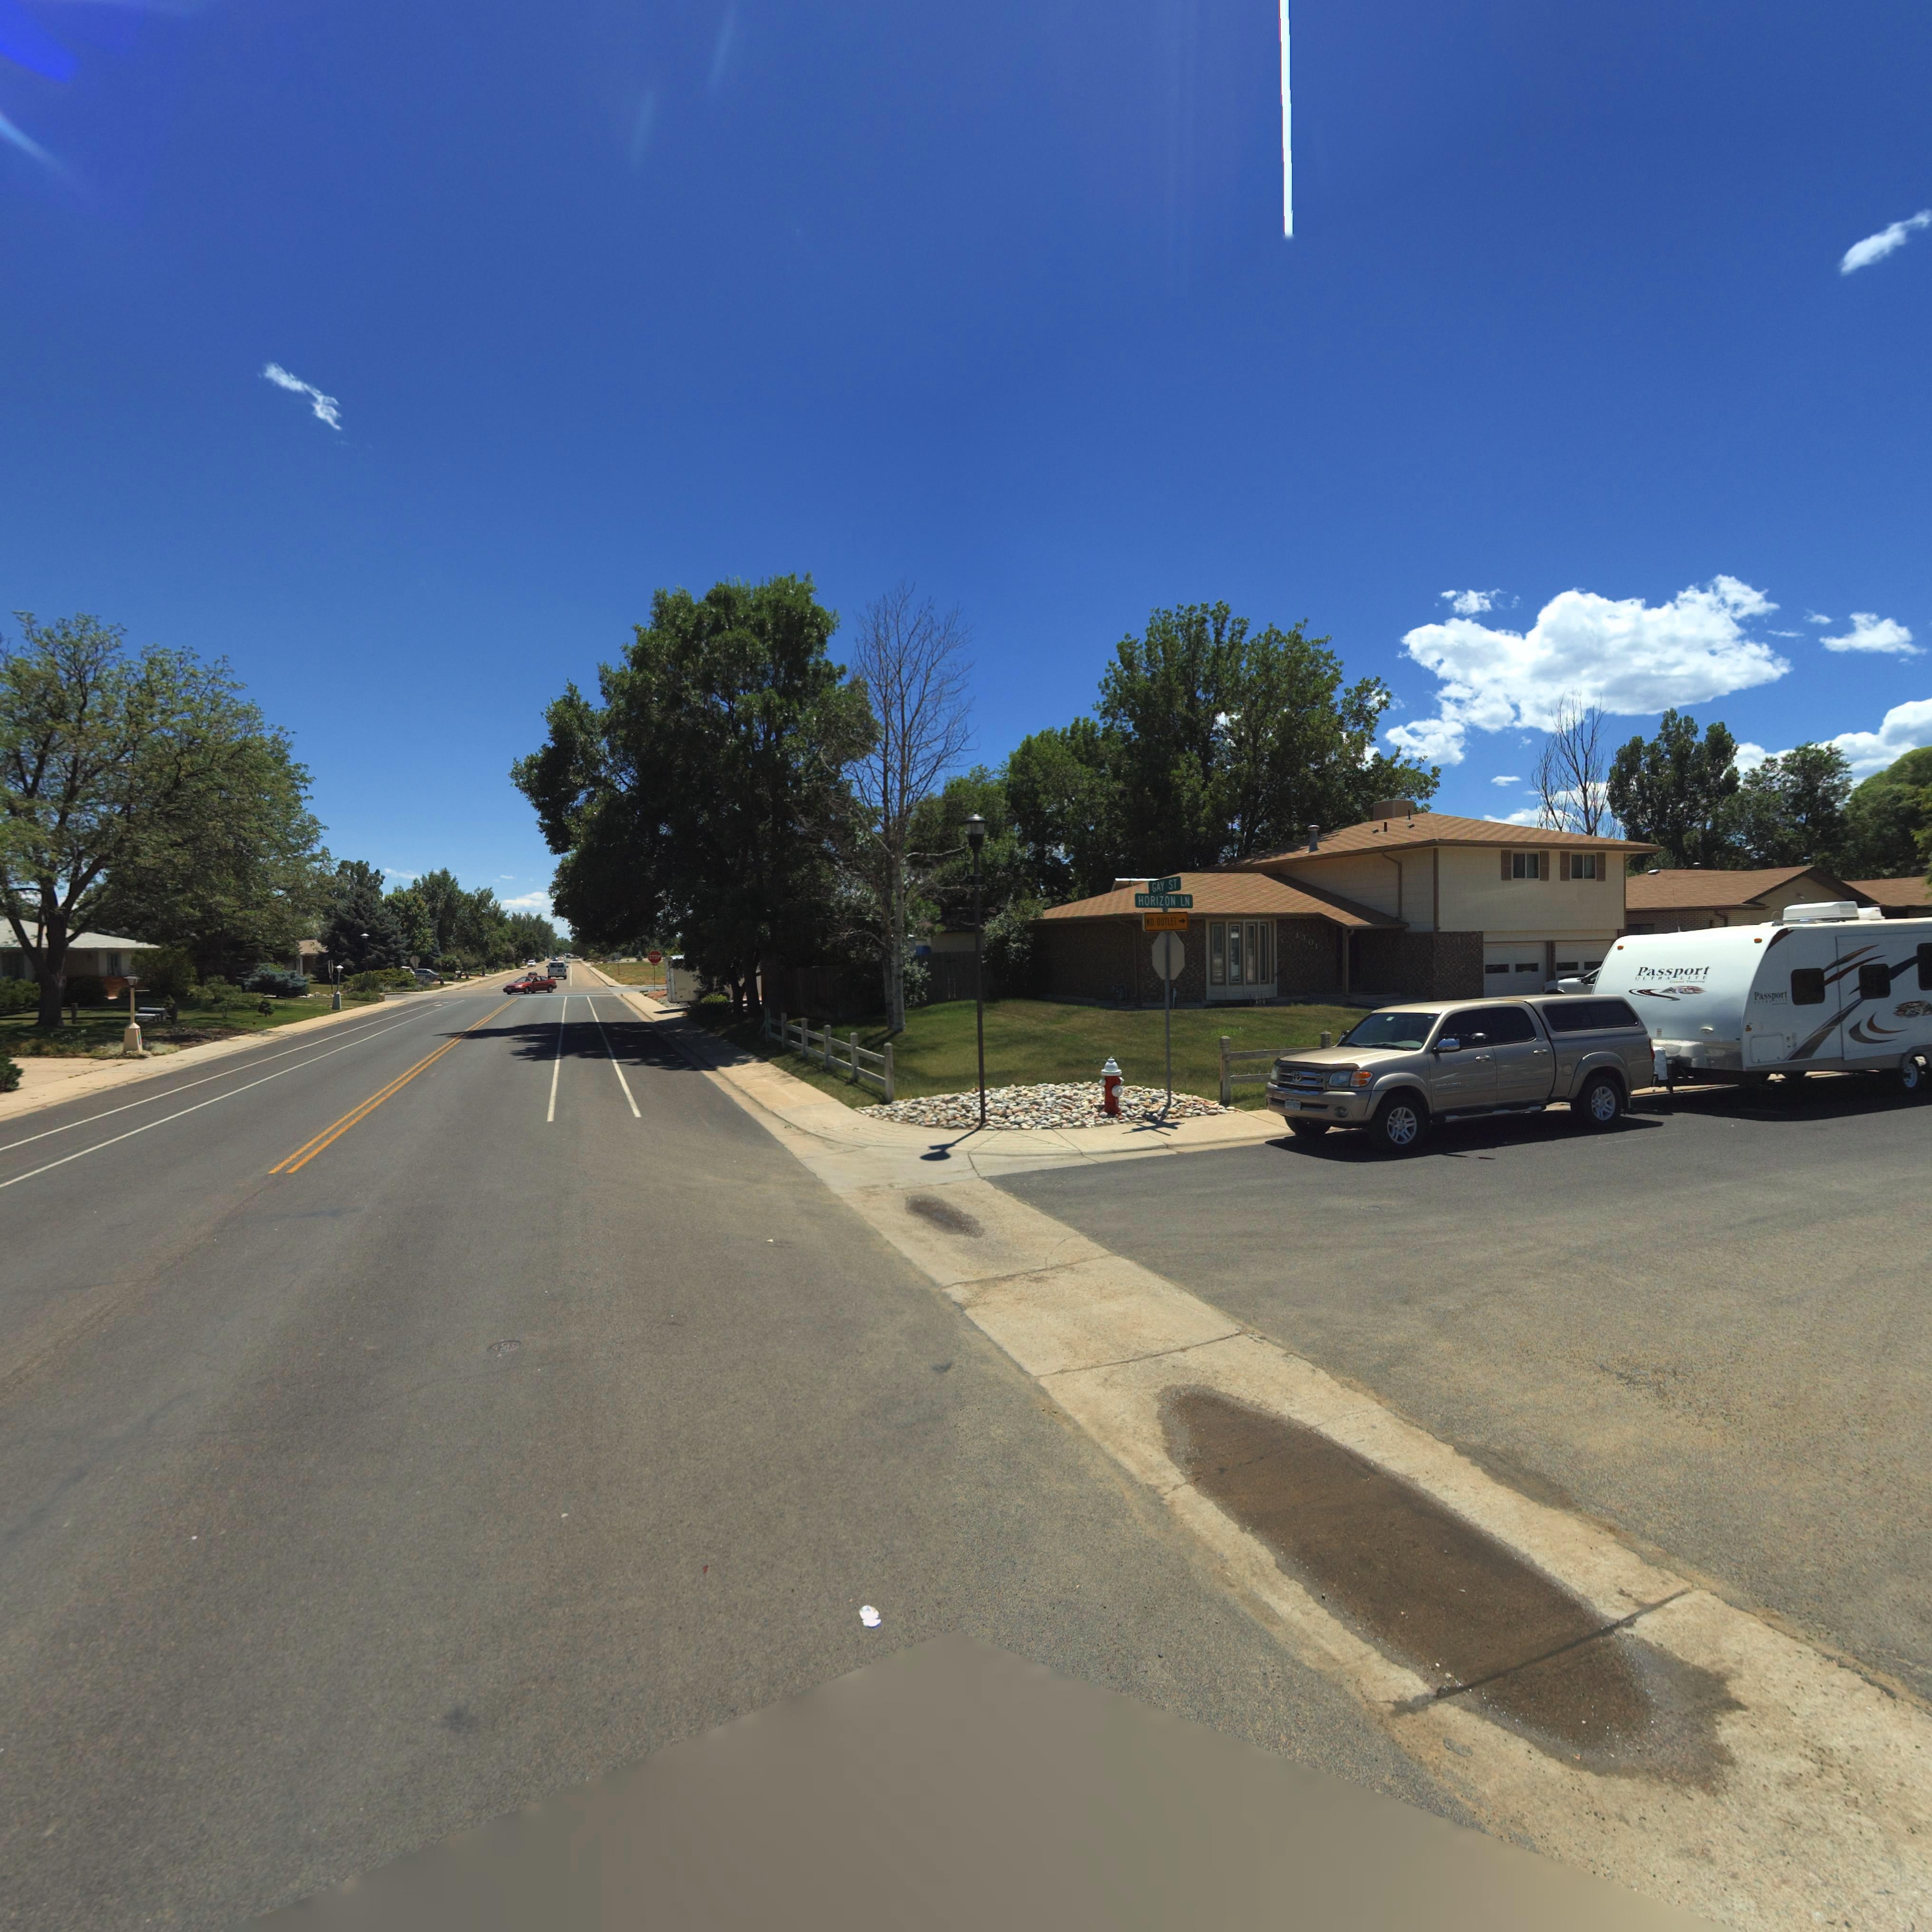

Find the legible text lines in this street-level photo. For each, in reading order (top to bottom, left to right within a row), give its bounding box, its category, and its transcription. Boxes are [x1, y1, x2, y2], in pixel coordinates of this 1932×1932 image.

[1152, 879, 1177, 892] StreetName: GAY ST
[1138, 895, 1189, 906] StreetName: HORIZON LN
[1296, 931, 1317, 950] StreetNumber: 1301